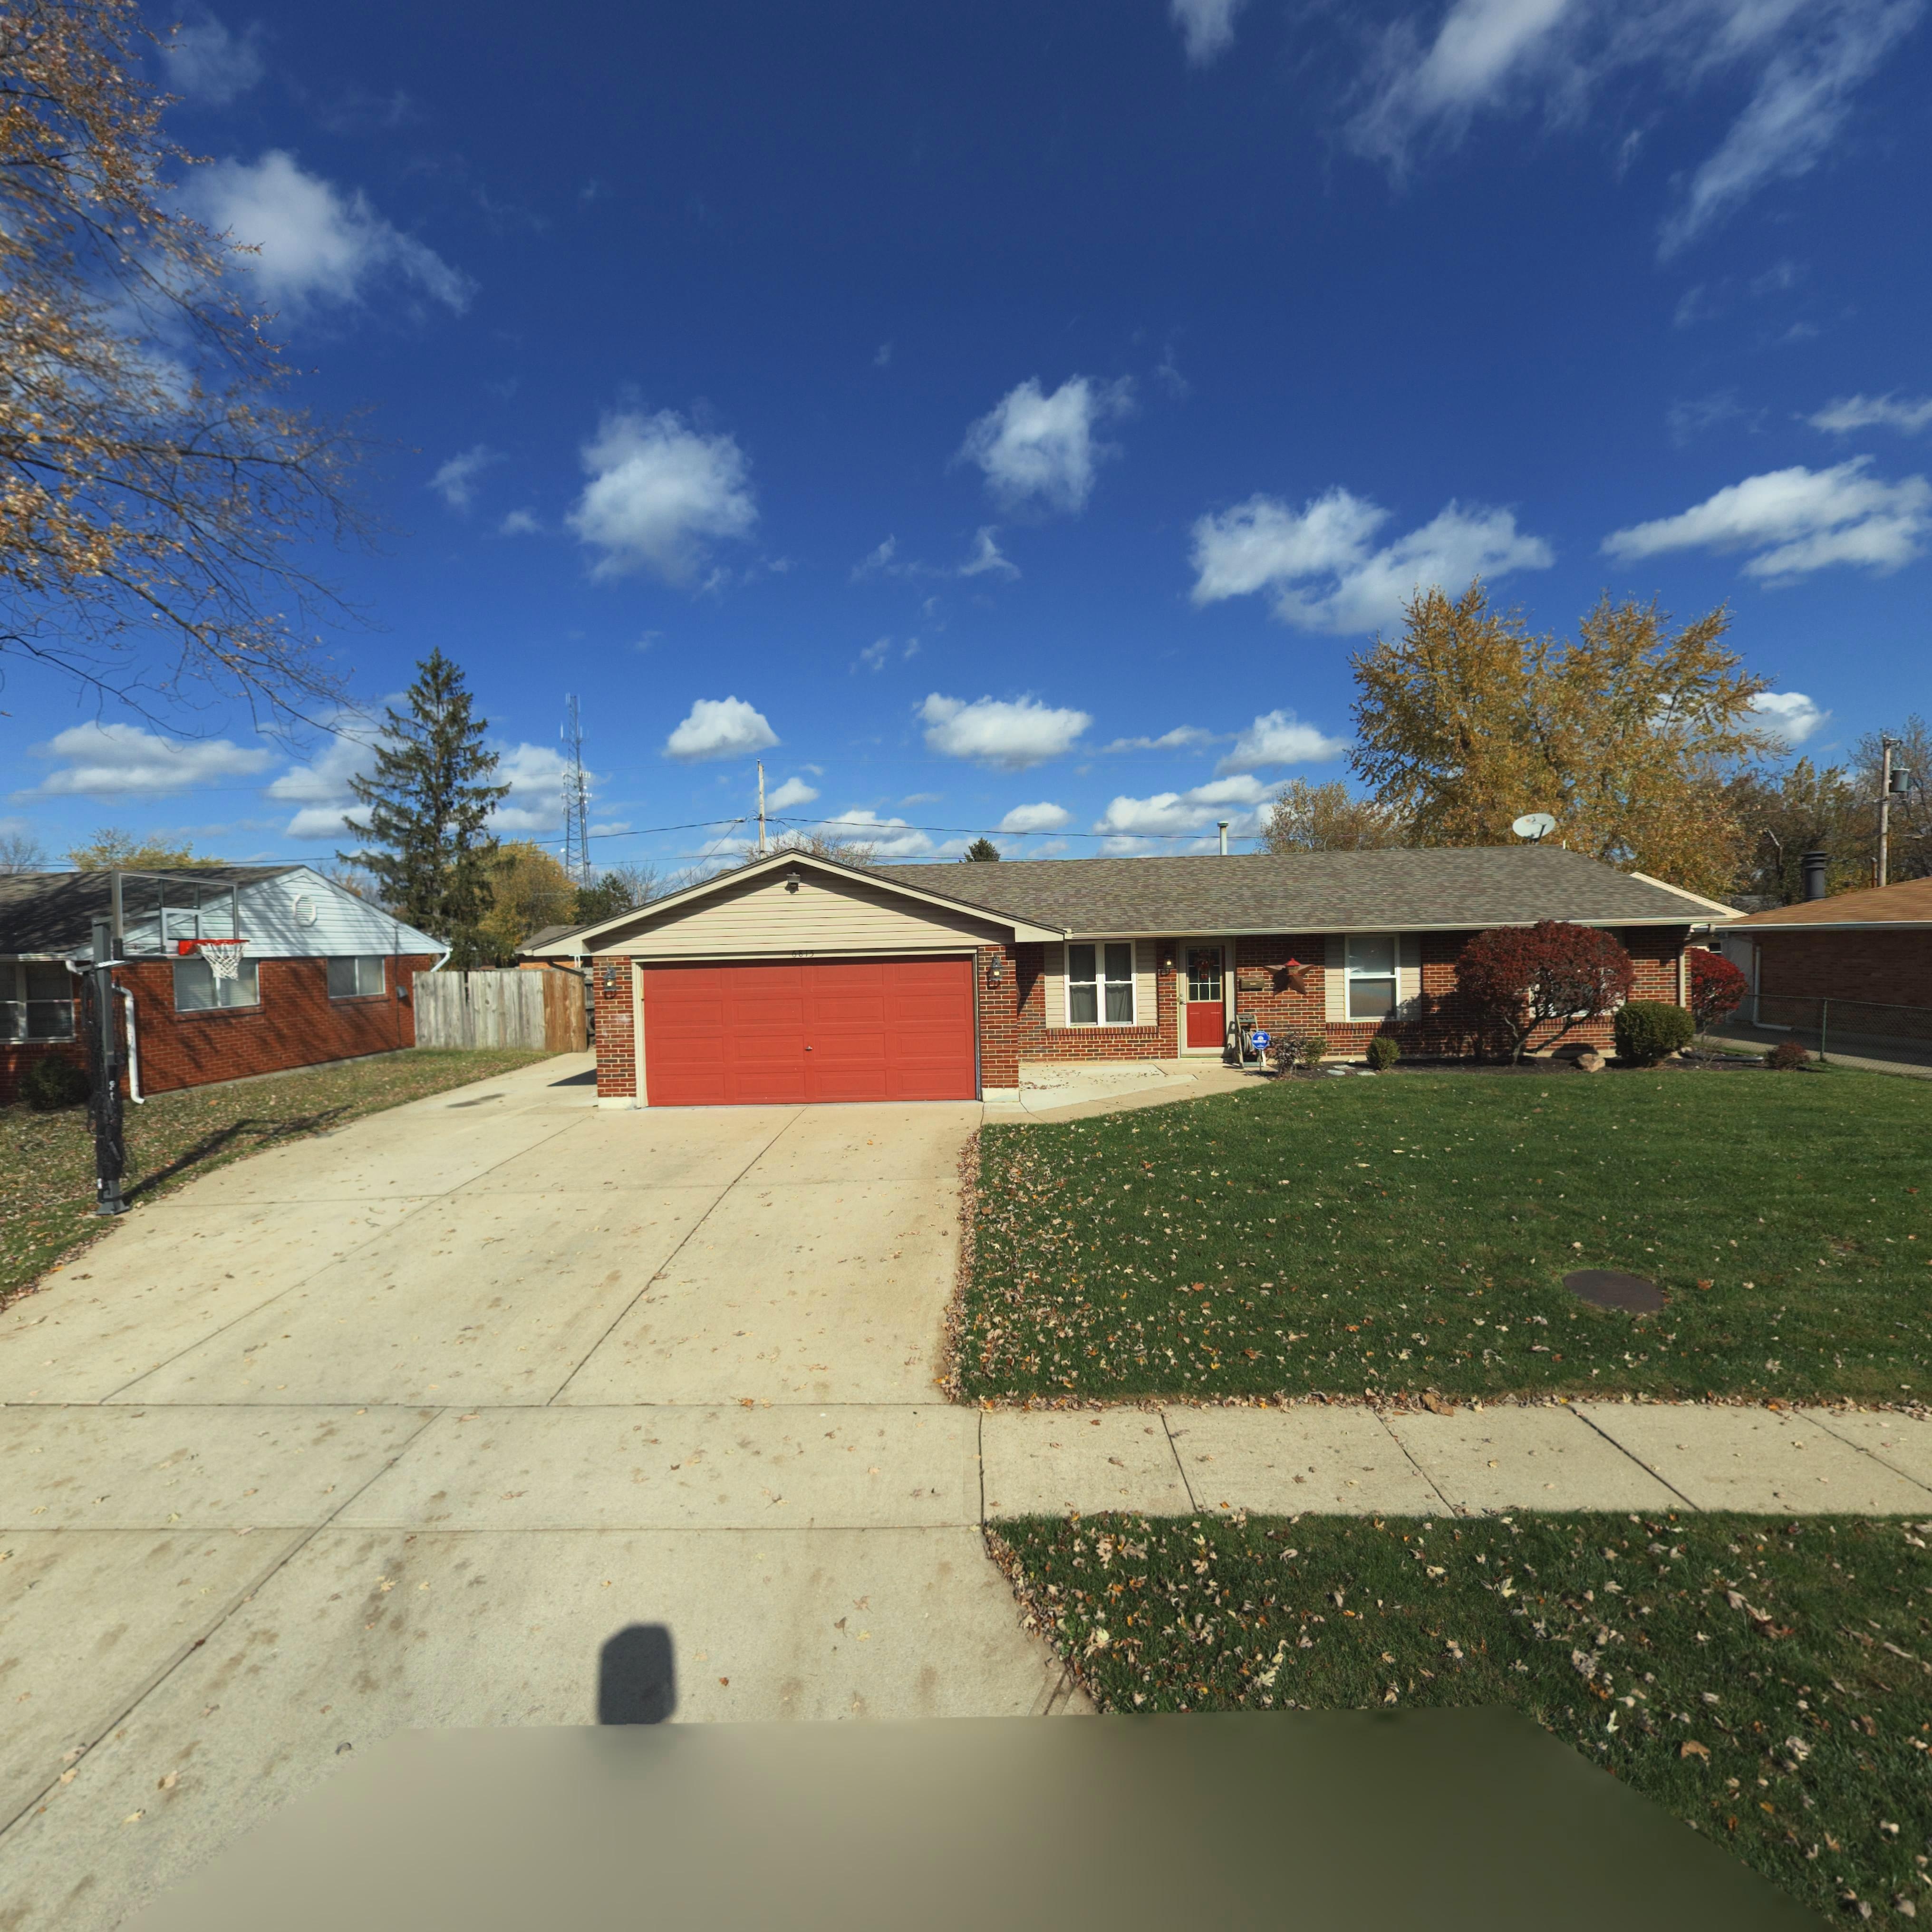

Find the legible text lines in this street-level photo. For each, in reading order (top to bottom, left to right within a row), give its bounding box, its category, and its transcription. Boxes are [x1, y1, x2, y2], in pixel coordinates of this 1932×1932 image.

[791, 949, 815, 957] StreetNumber: 6815